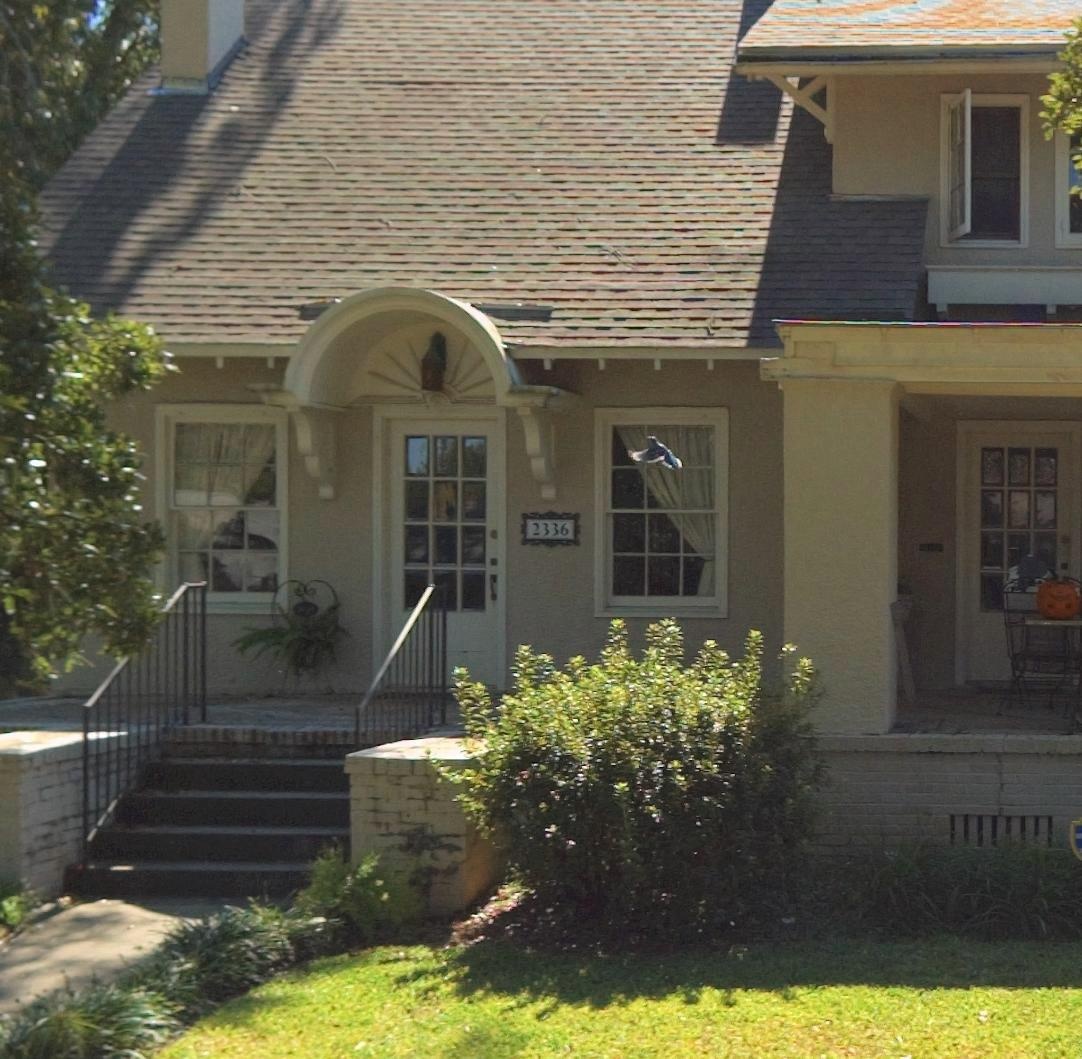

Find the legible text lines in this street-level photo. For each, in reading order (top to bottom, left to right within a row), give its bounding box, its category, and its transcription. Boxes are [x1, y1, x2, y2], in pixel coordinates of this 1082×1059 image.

[530, 521, 571, 539] StreetNumber: 2336